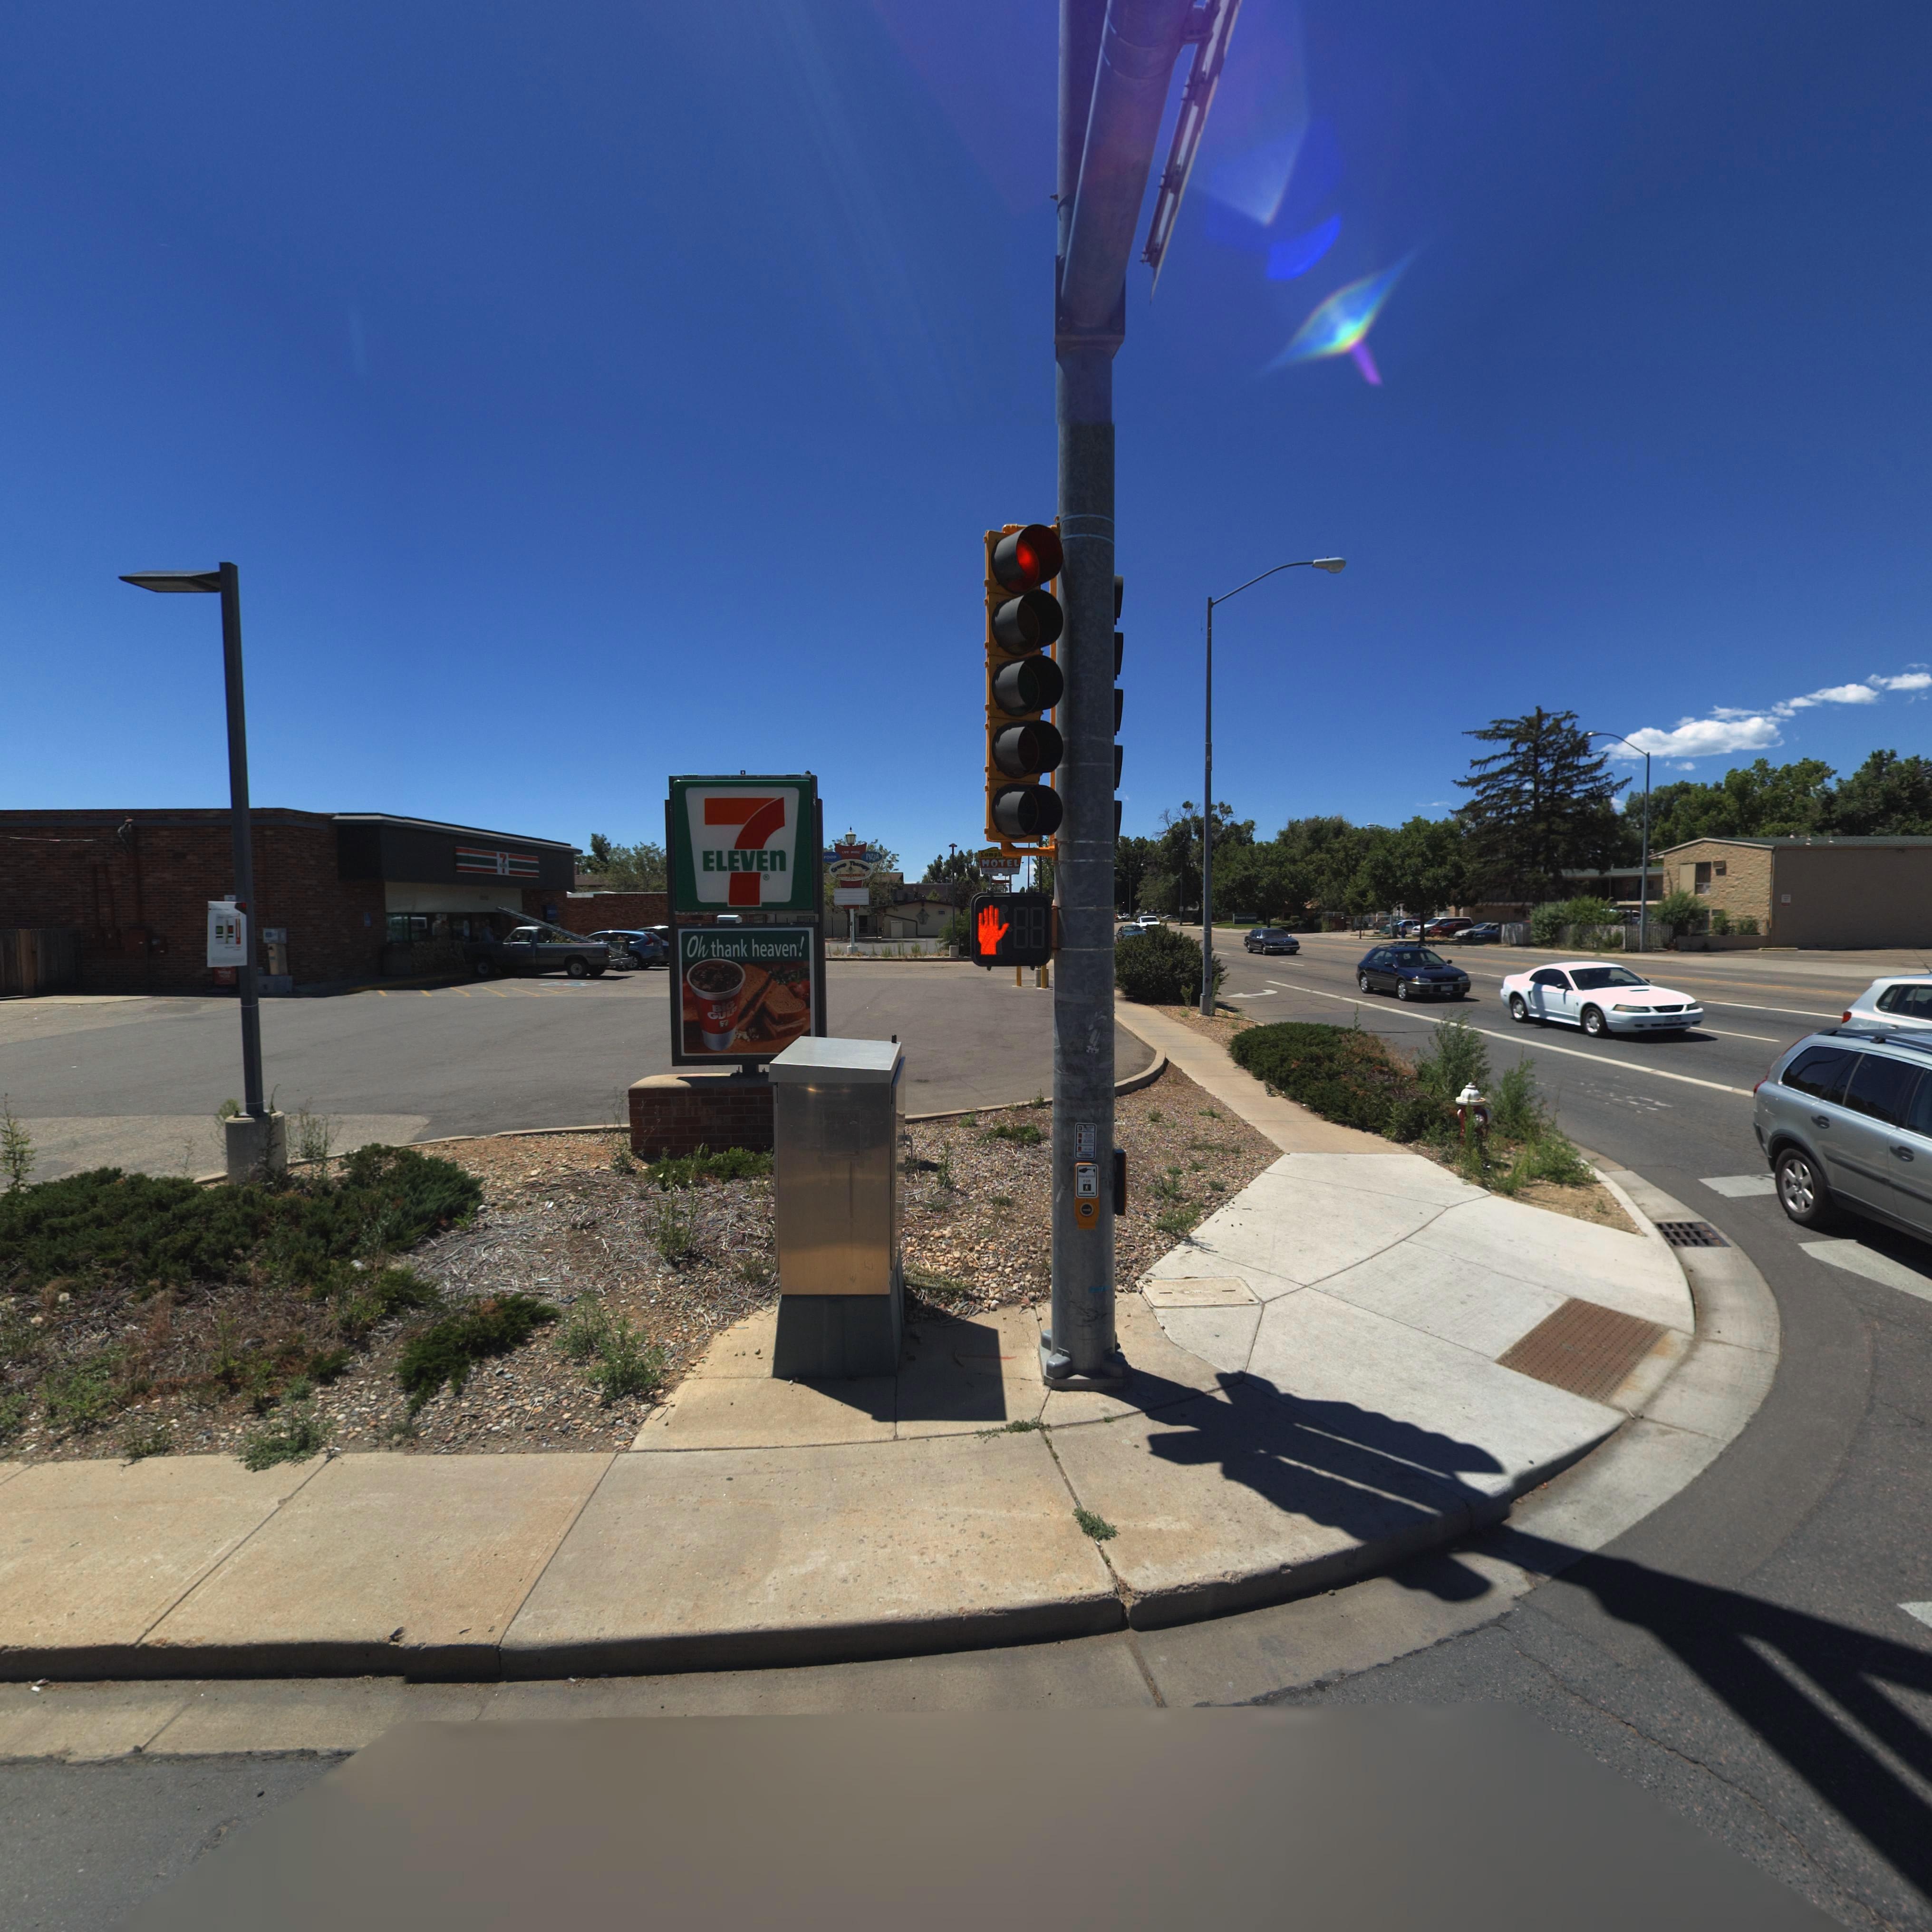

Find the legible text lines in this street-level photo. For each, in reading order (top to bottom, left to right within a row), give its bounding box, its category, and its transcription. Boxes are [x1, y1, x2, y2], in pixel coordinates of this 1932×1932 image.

[498, 852, 507, 873] BusinessName: 7
[701, 849, 787, 872] BusinessName: ELEVEN
[703, 795, 786, 906] BusinessName: 7
[830, 860, 871, 873] BusinessName: Group Therapy
[980, 850, 1000, 858] BusinessName: Lampl
[981, 859, 1020, 867] BusinessName: MOTEL